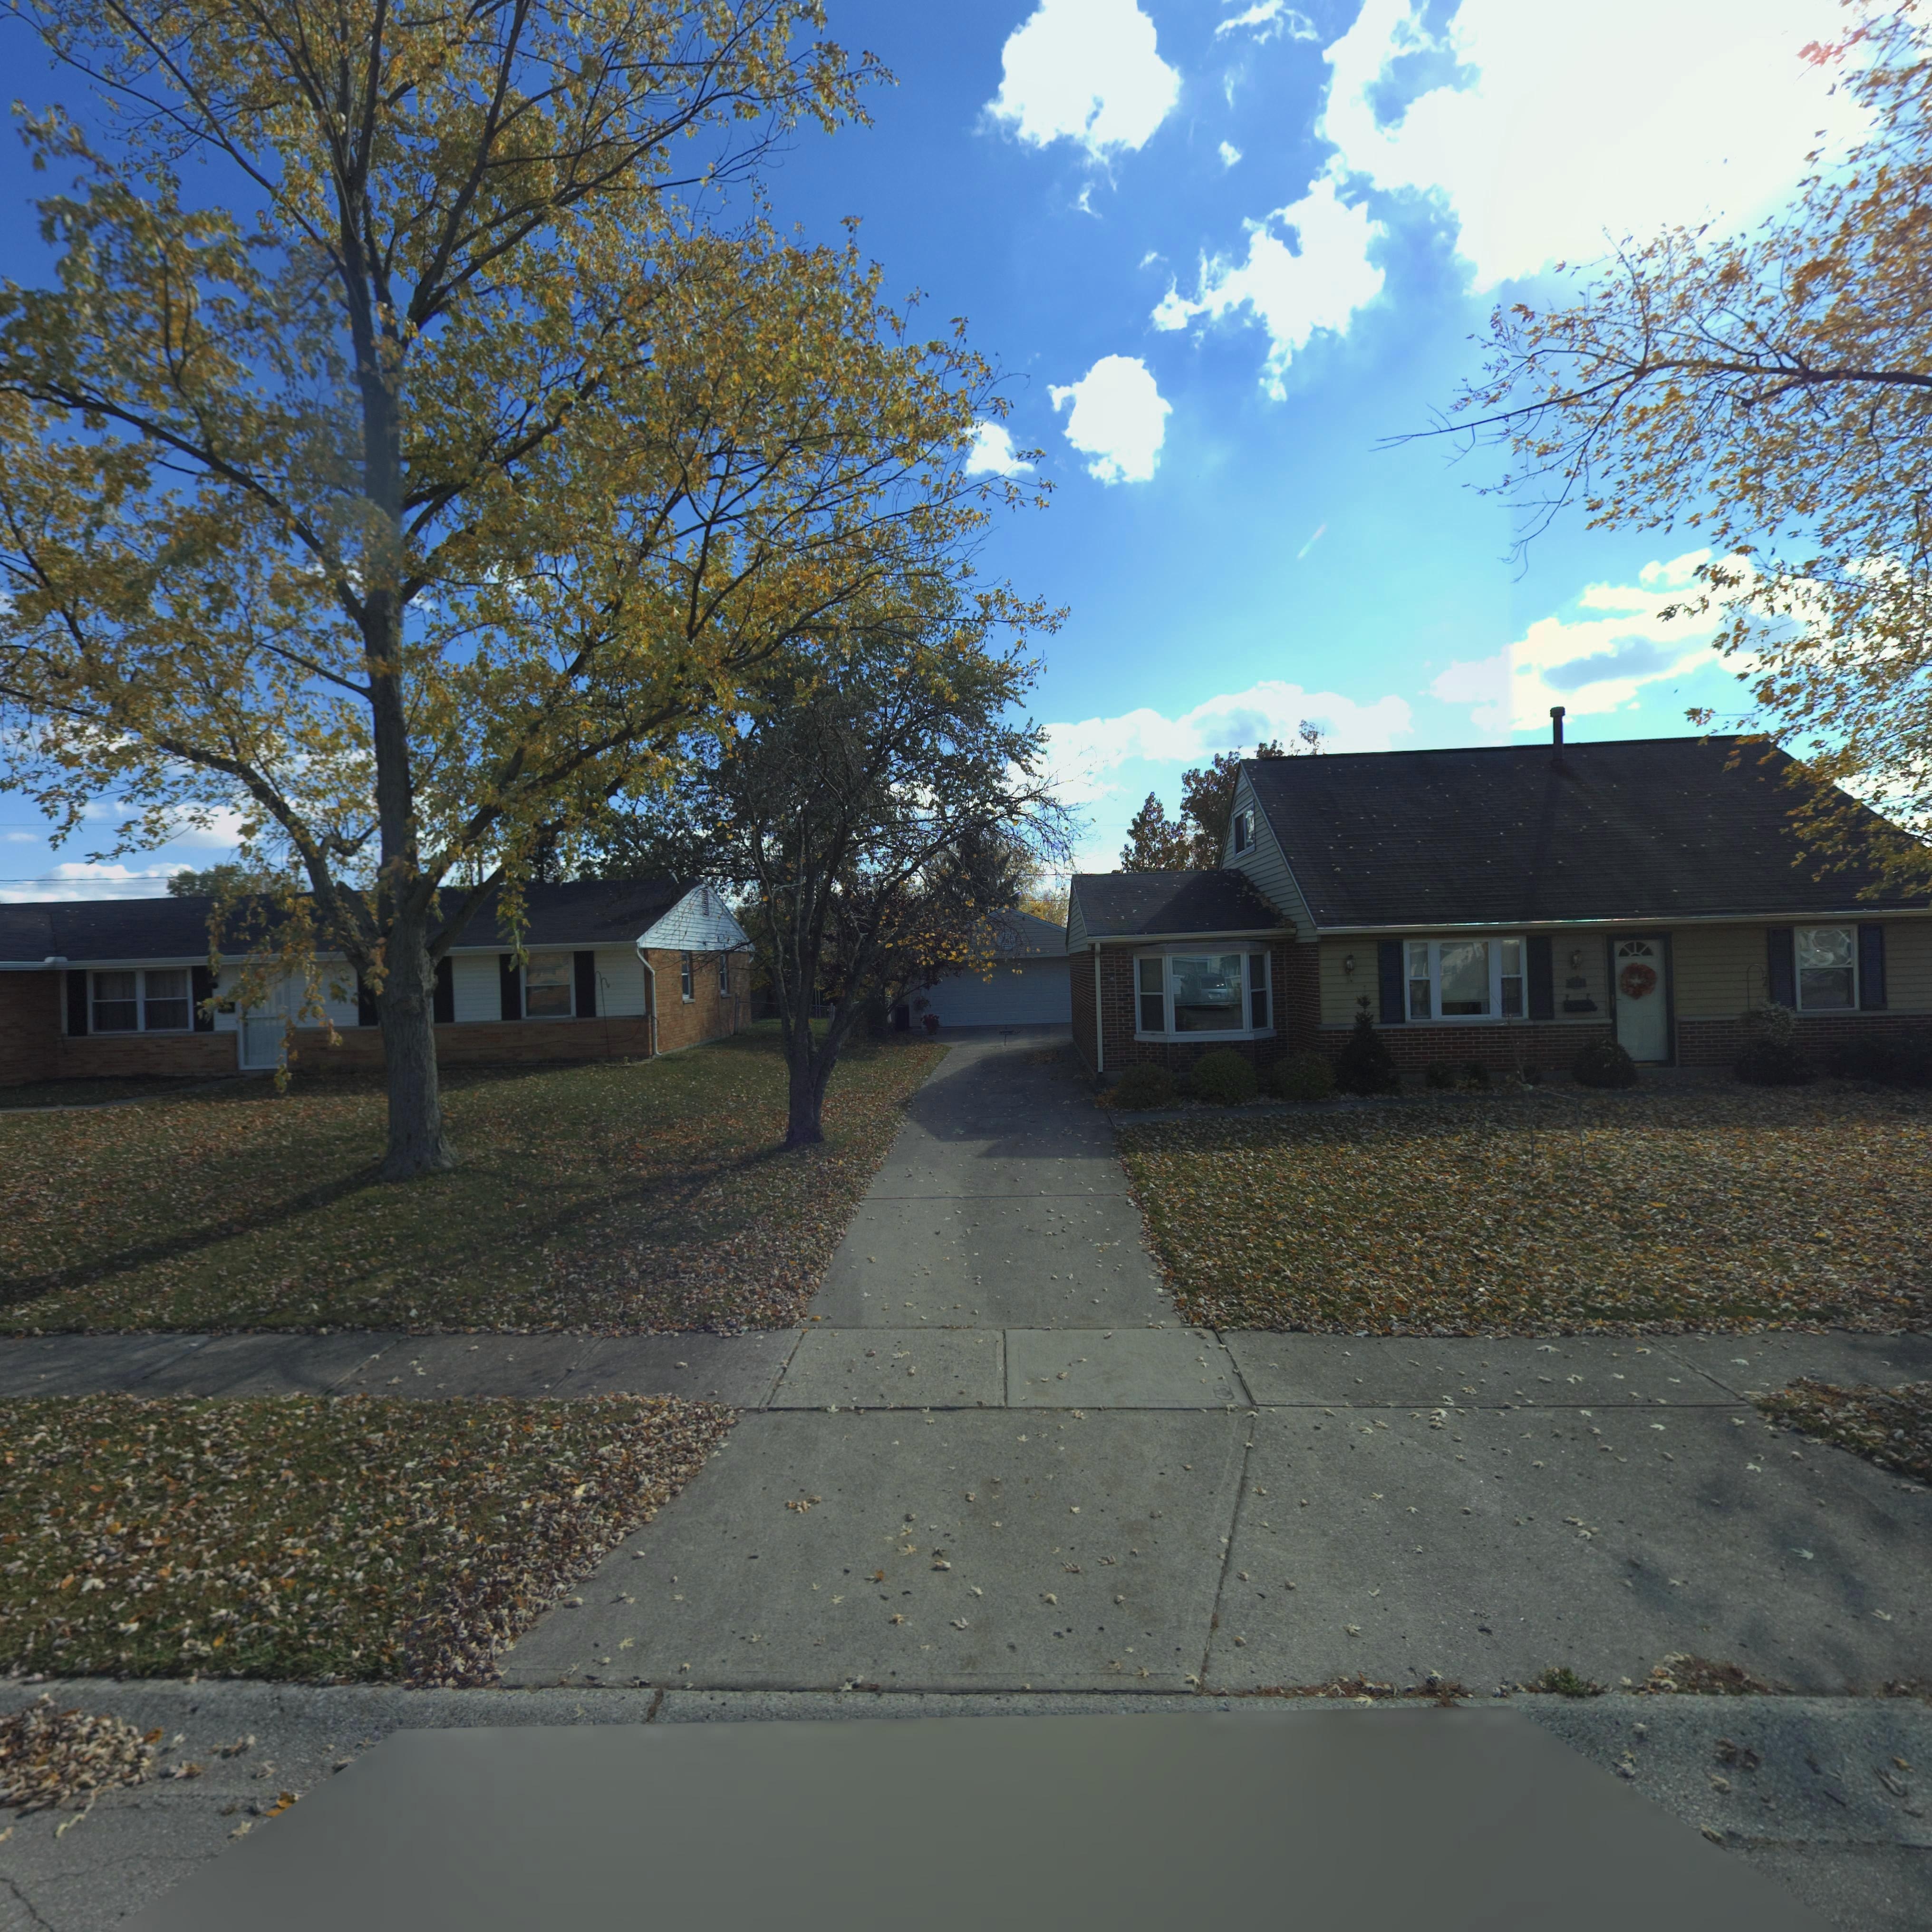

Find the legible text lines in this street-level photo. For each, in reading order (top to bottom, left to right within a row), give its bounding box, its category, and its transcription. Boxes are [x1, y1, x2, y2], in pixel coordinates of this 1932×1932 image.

[1567, 979, 1585, 988] StreetNumber: 7***